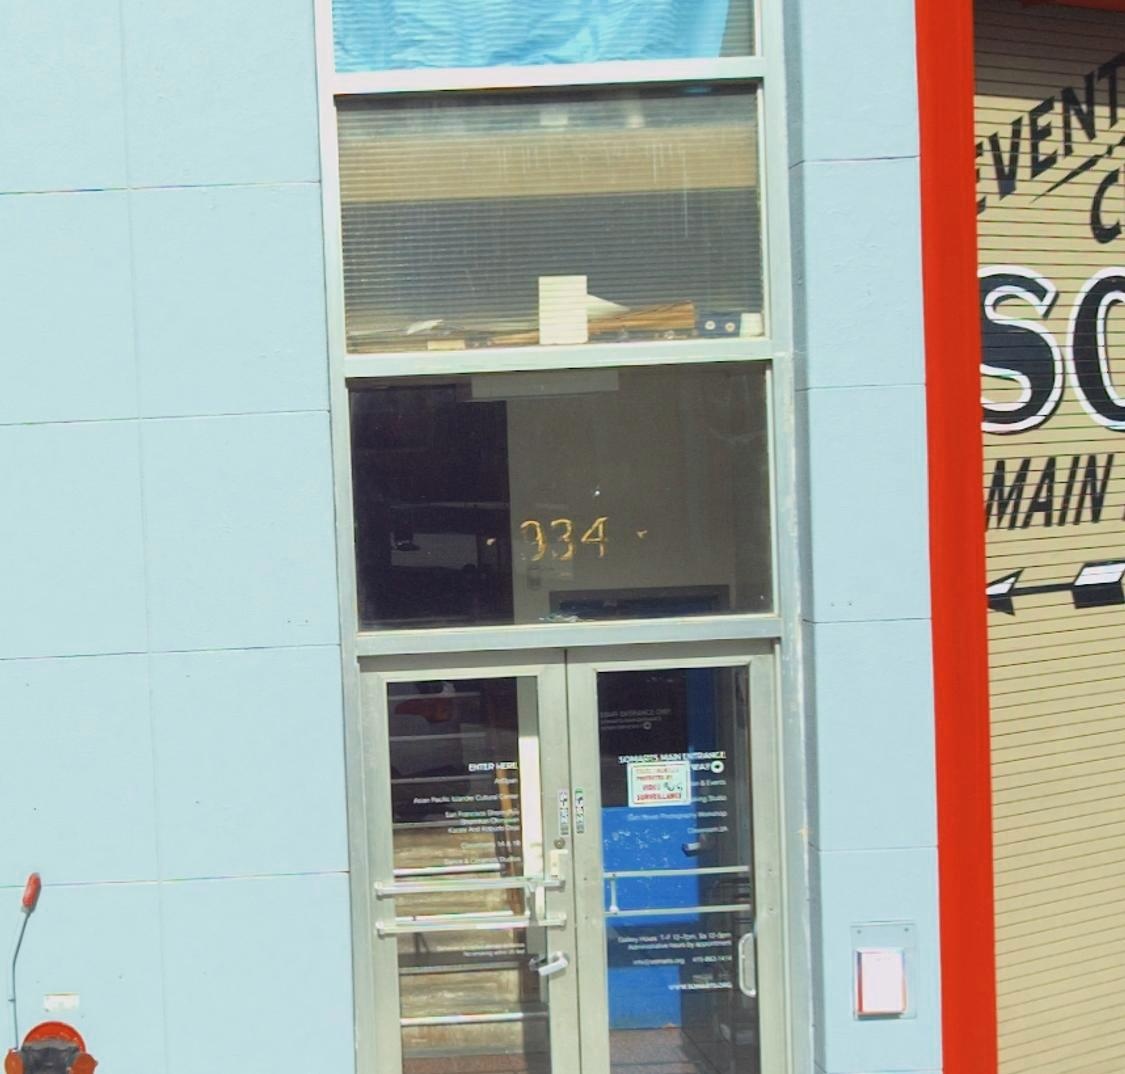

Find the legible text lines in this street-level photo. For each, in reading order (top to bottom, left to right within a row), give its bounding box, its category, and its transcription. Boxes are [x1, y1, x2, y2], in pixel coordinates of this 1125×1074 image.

[982, 45, 1125, 208] BusinessName: VENT
[1088, 159, 1124, 254] BusinessName: C
[977, 450, 1119, 536] None: MAIN
[514, 512, 615, 566] StreetNumber: 934
[463, 759, 520, 774] None: ENTER HERE
[696, 760, 708, 773] None: A
[558, 789, 570, 825] None: PUSH
[573, 787, 585, 825] None: PUSH